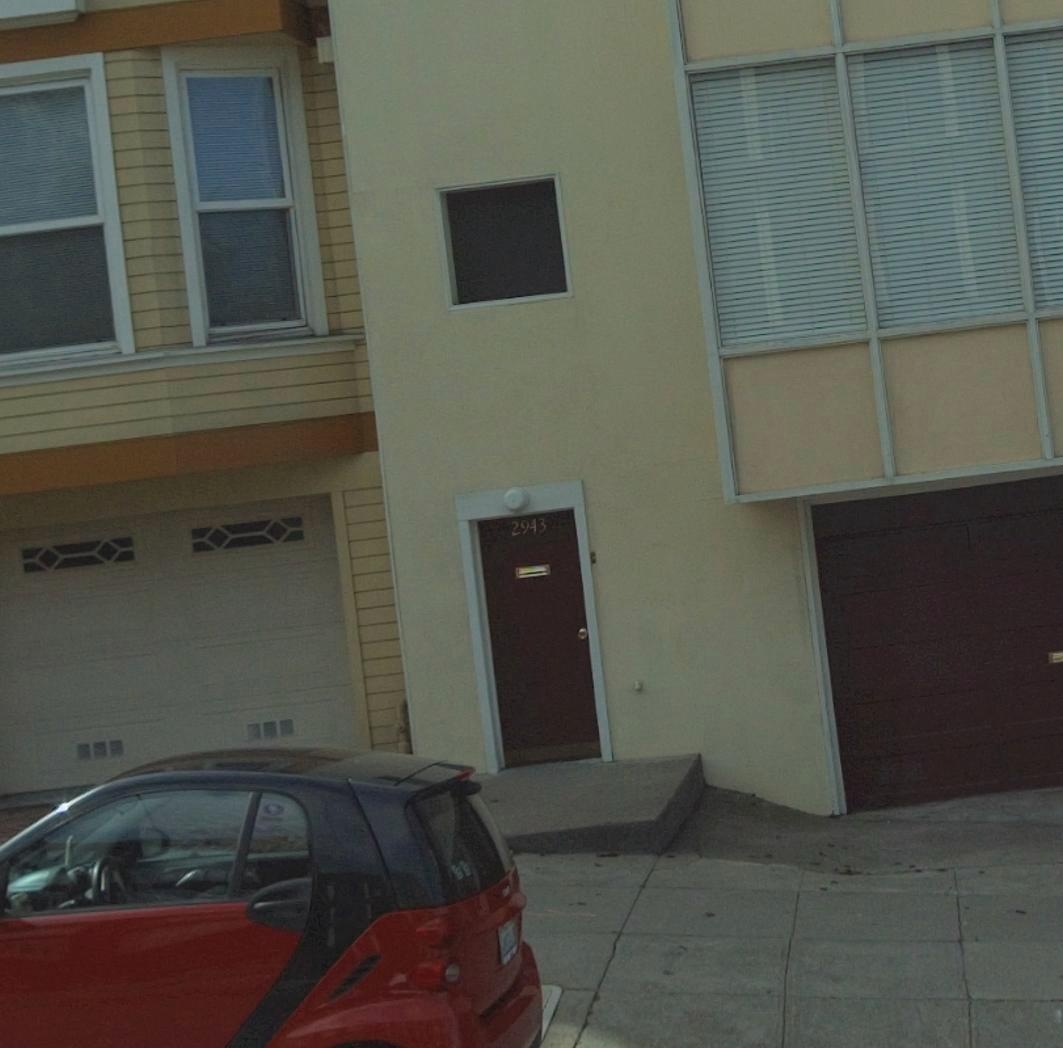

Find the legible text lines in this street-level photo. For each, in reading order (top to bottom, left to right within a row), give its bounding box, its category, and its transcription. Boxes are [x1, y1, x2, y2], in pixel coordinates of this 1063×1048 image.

[509, 514, 549, 540] StreetNumber: 2943